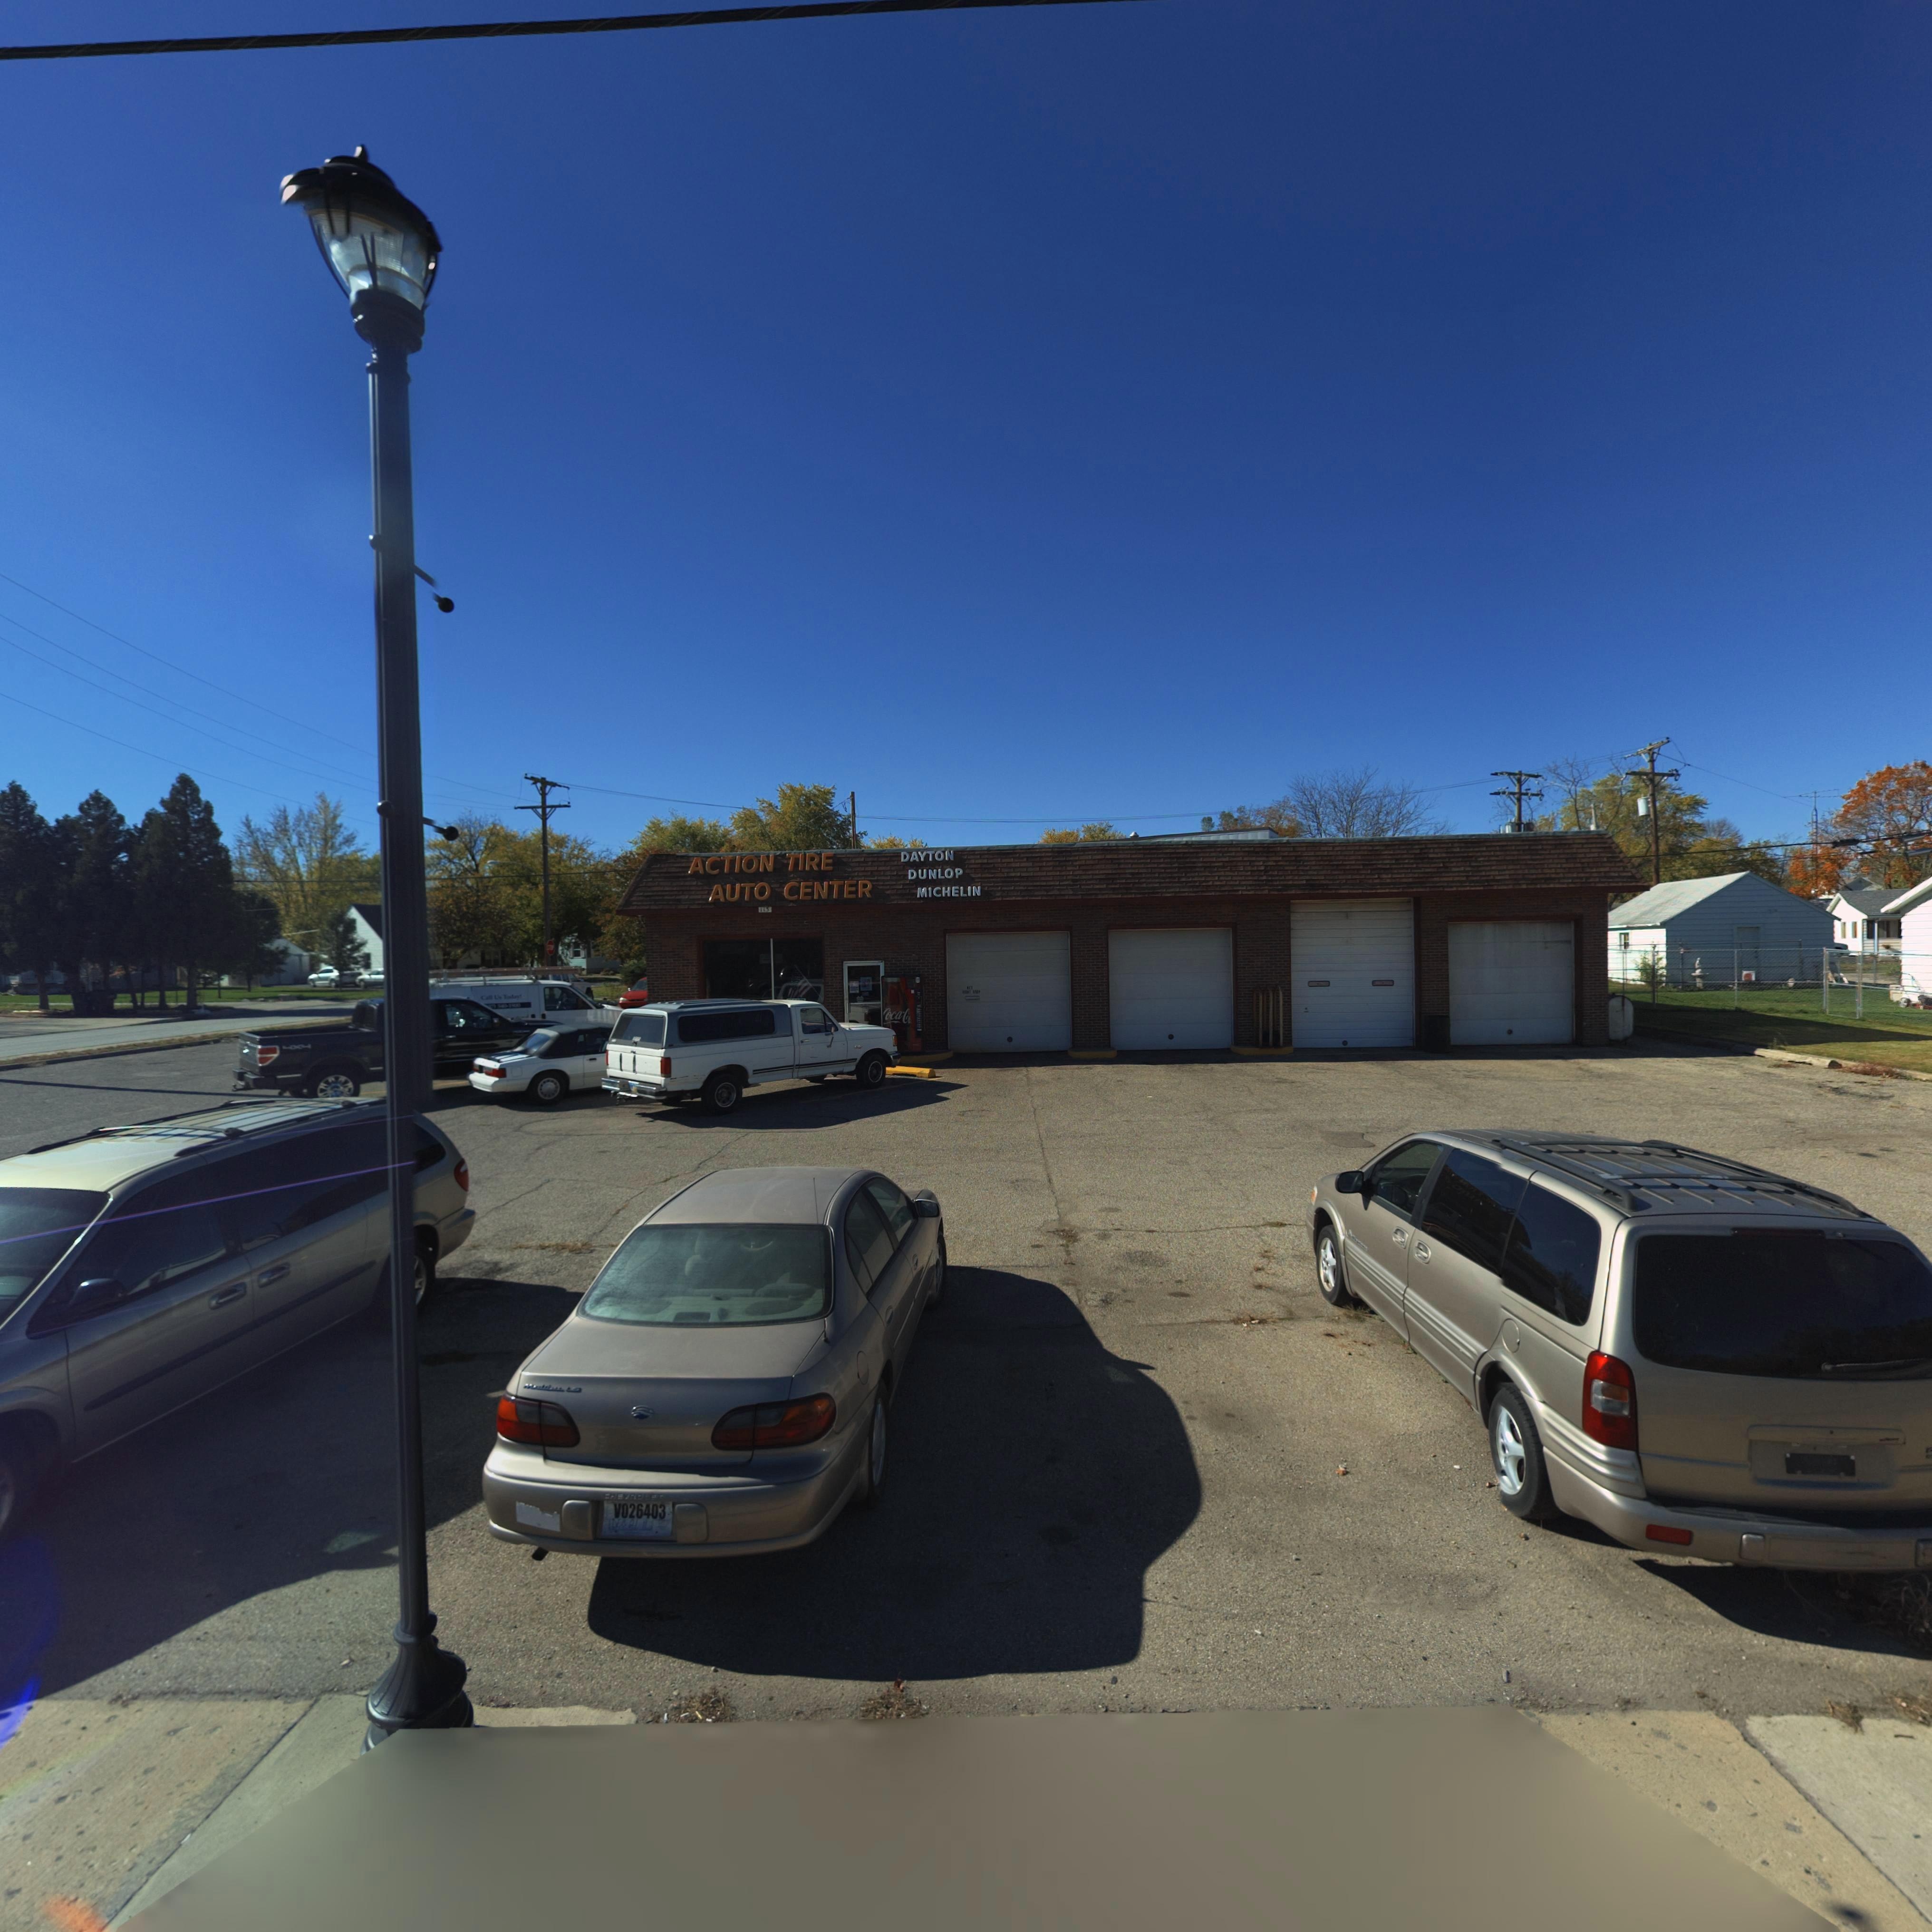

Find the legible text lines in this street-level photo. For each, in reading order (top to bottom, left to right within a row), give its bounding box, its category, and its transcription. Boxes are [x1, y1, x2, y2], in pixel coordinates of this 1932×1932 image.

[685, 852, 836, 876] BusinessName: ACTION TIRE
[706, 879, 874, 904] BusinessName: AUTO CENTER
[759, 907, 770, 912] StreetNumber: 113